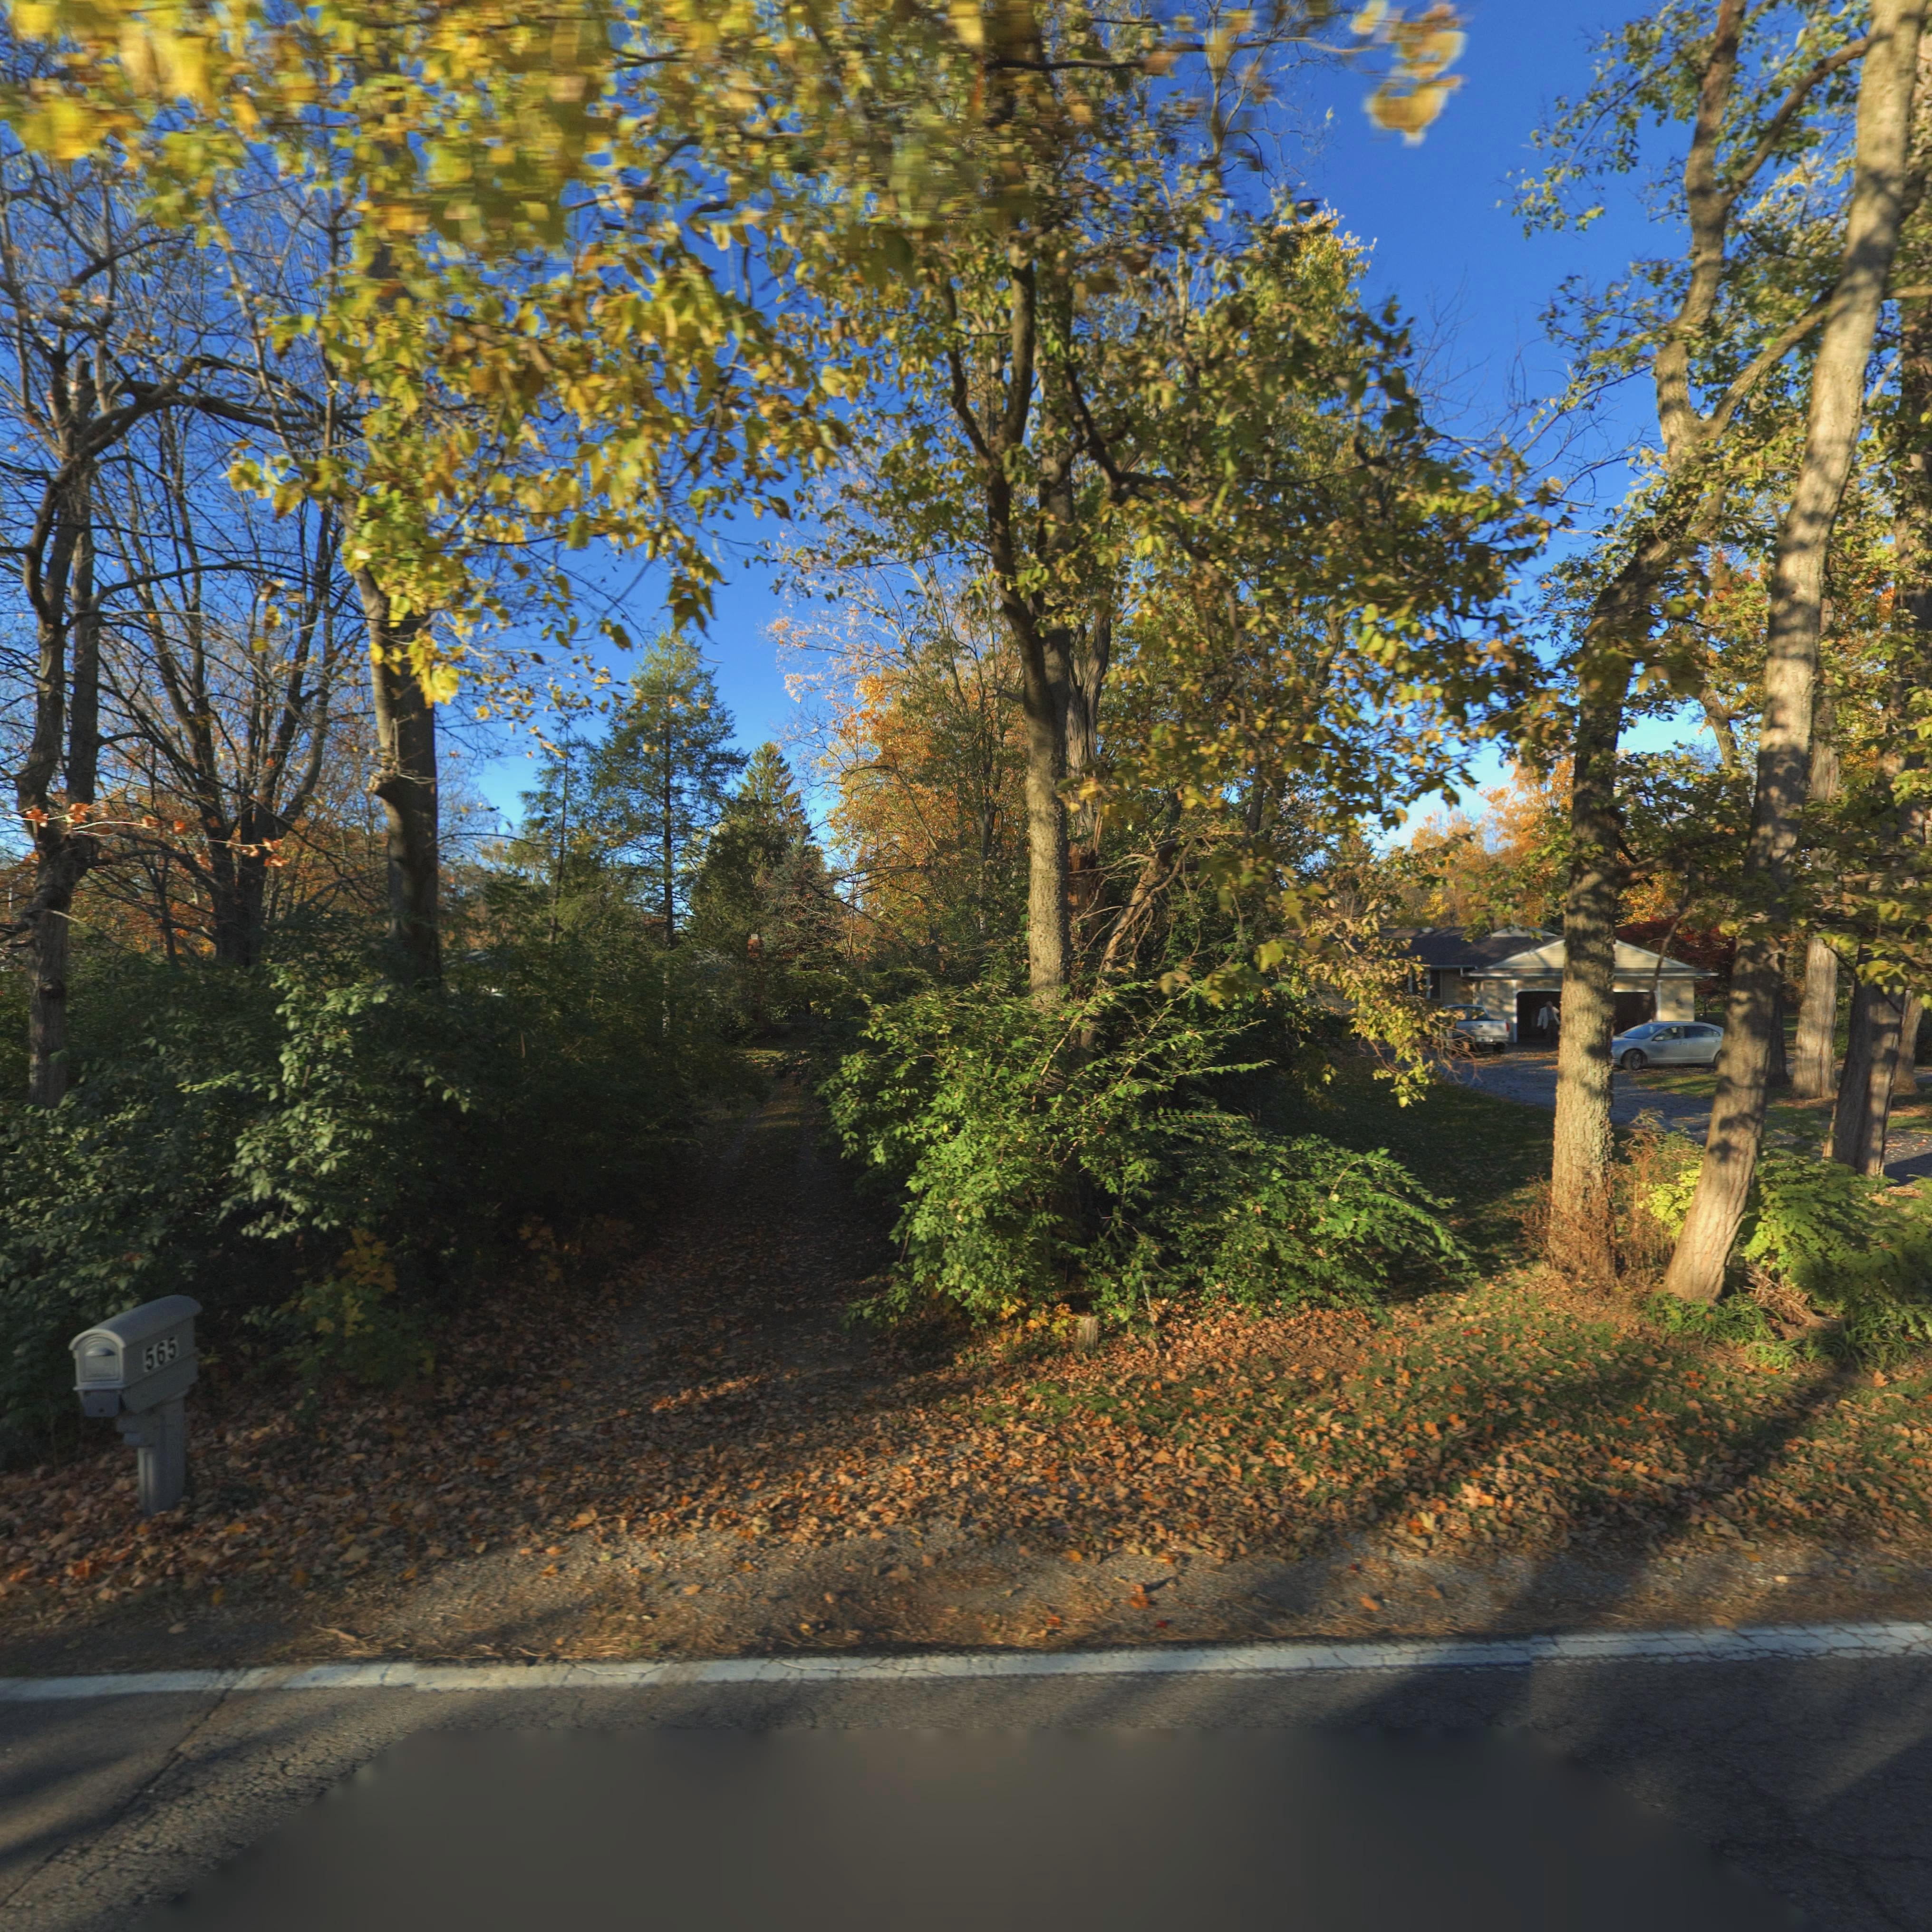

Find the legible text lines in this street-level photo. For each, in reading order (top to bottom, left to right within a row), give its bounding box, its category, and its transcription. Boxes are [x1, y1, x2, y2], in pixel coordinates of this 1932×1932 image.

[143, 1332, 180, 1374] StreetNumber: 565